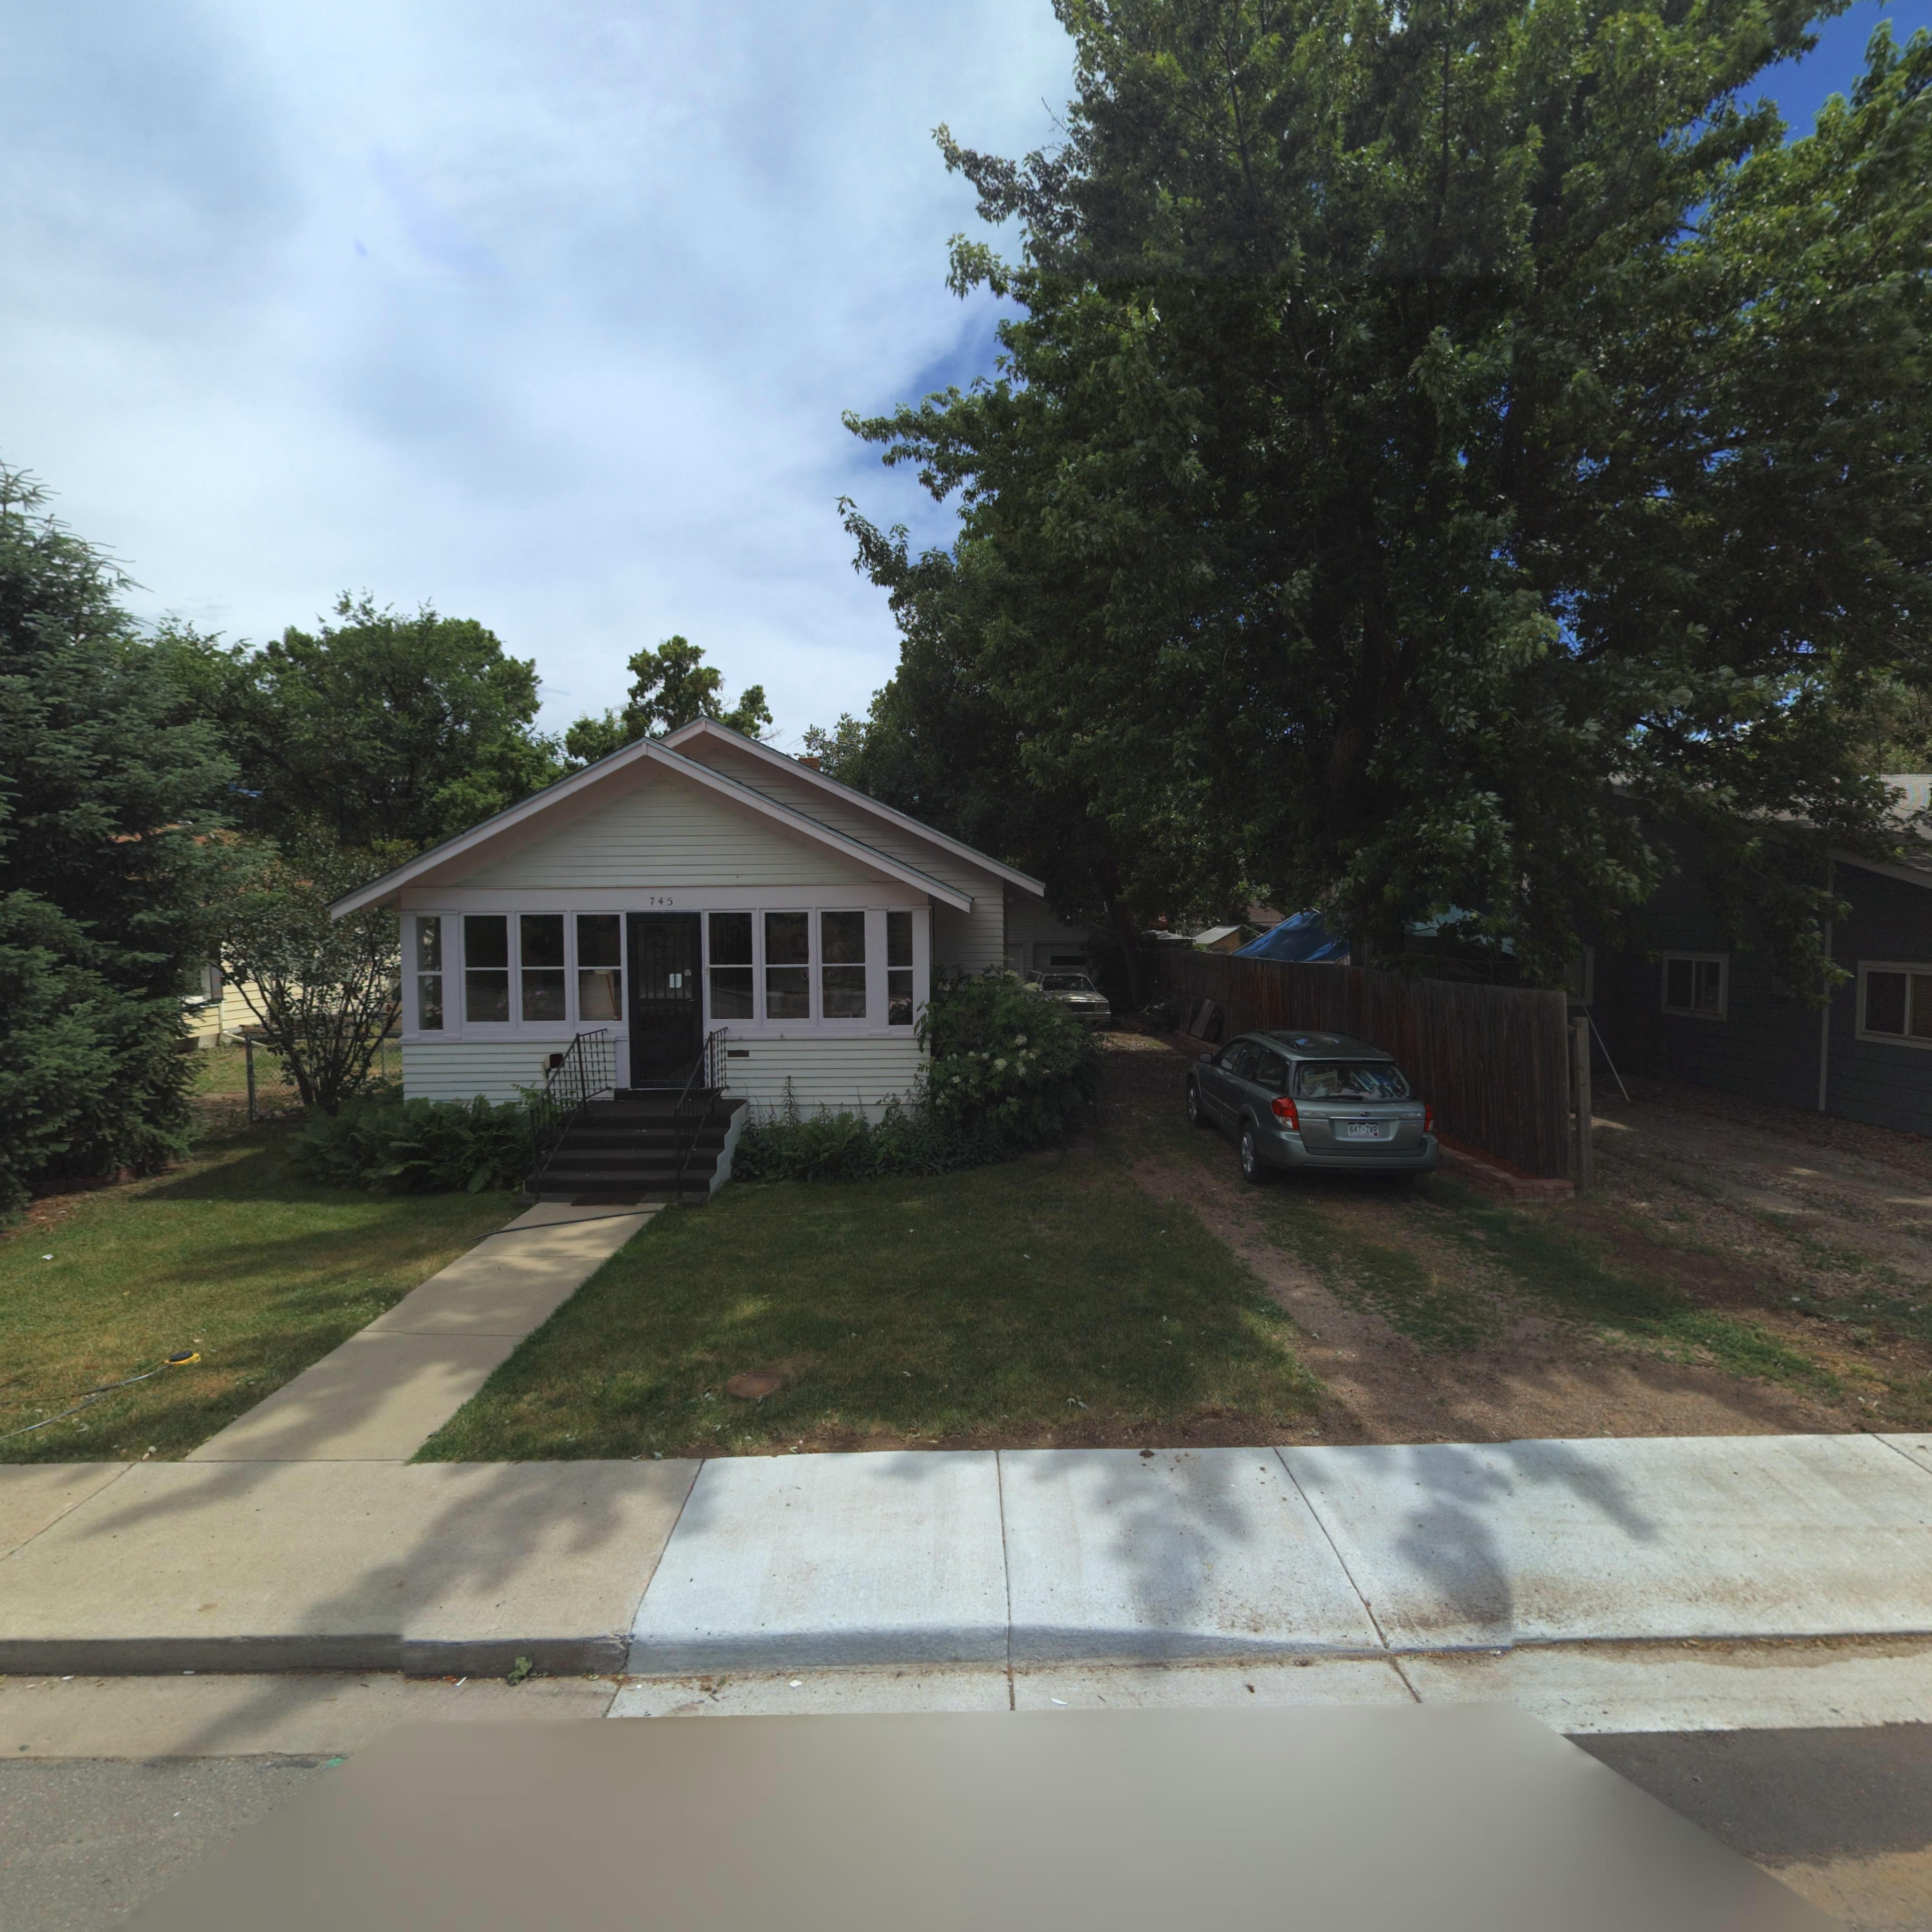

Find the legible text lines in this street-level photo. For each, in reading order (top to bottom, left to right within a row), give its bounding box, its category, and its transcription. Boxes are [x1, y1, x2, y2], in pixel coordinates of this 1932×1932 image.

[649, 897, 673, 906] StreetNumber: 745